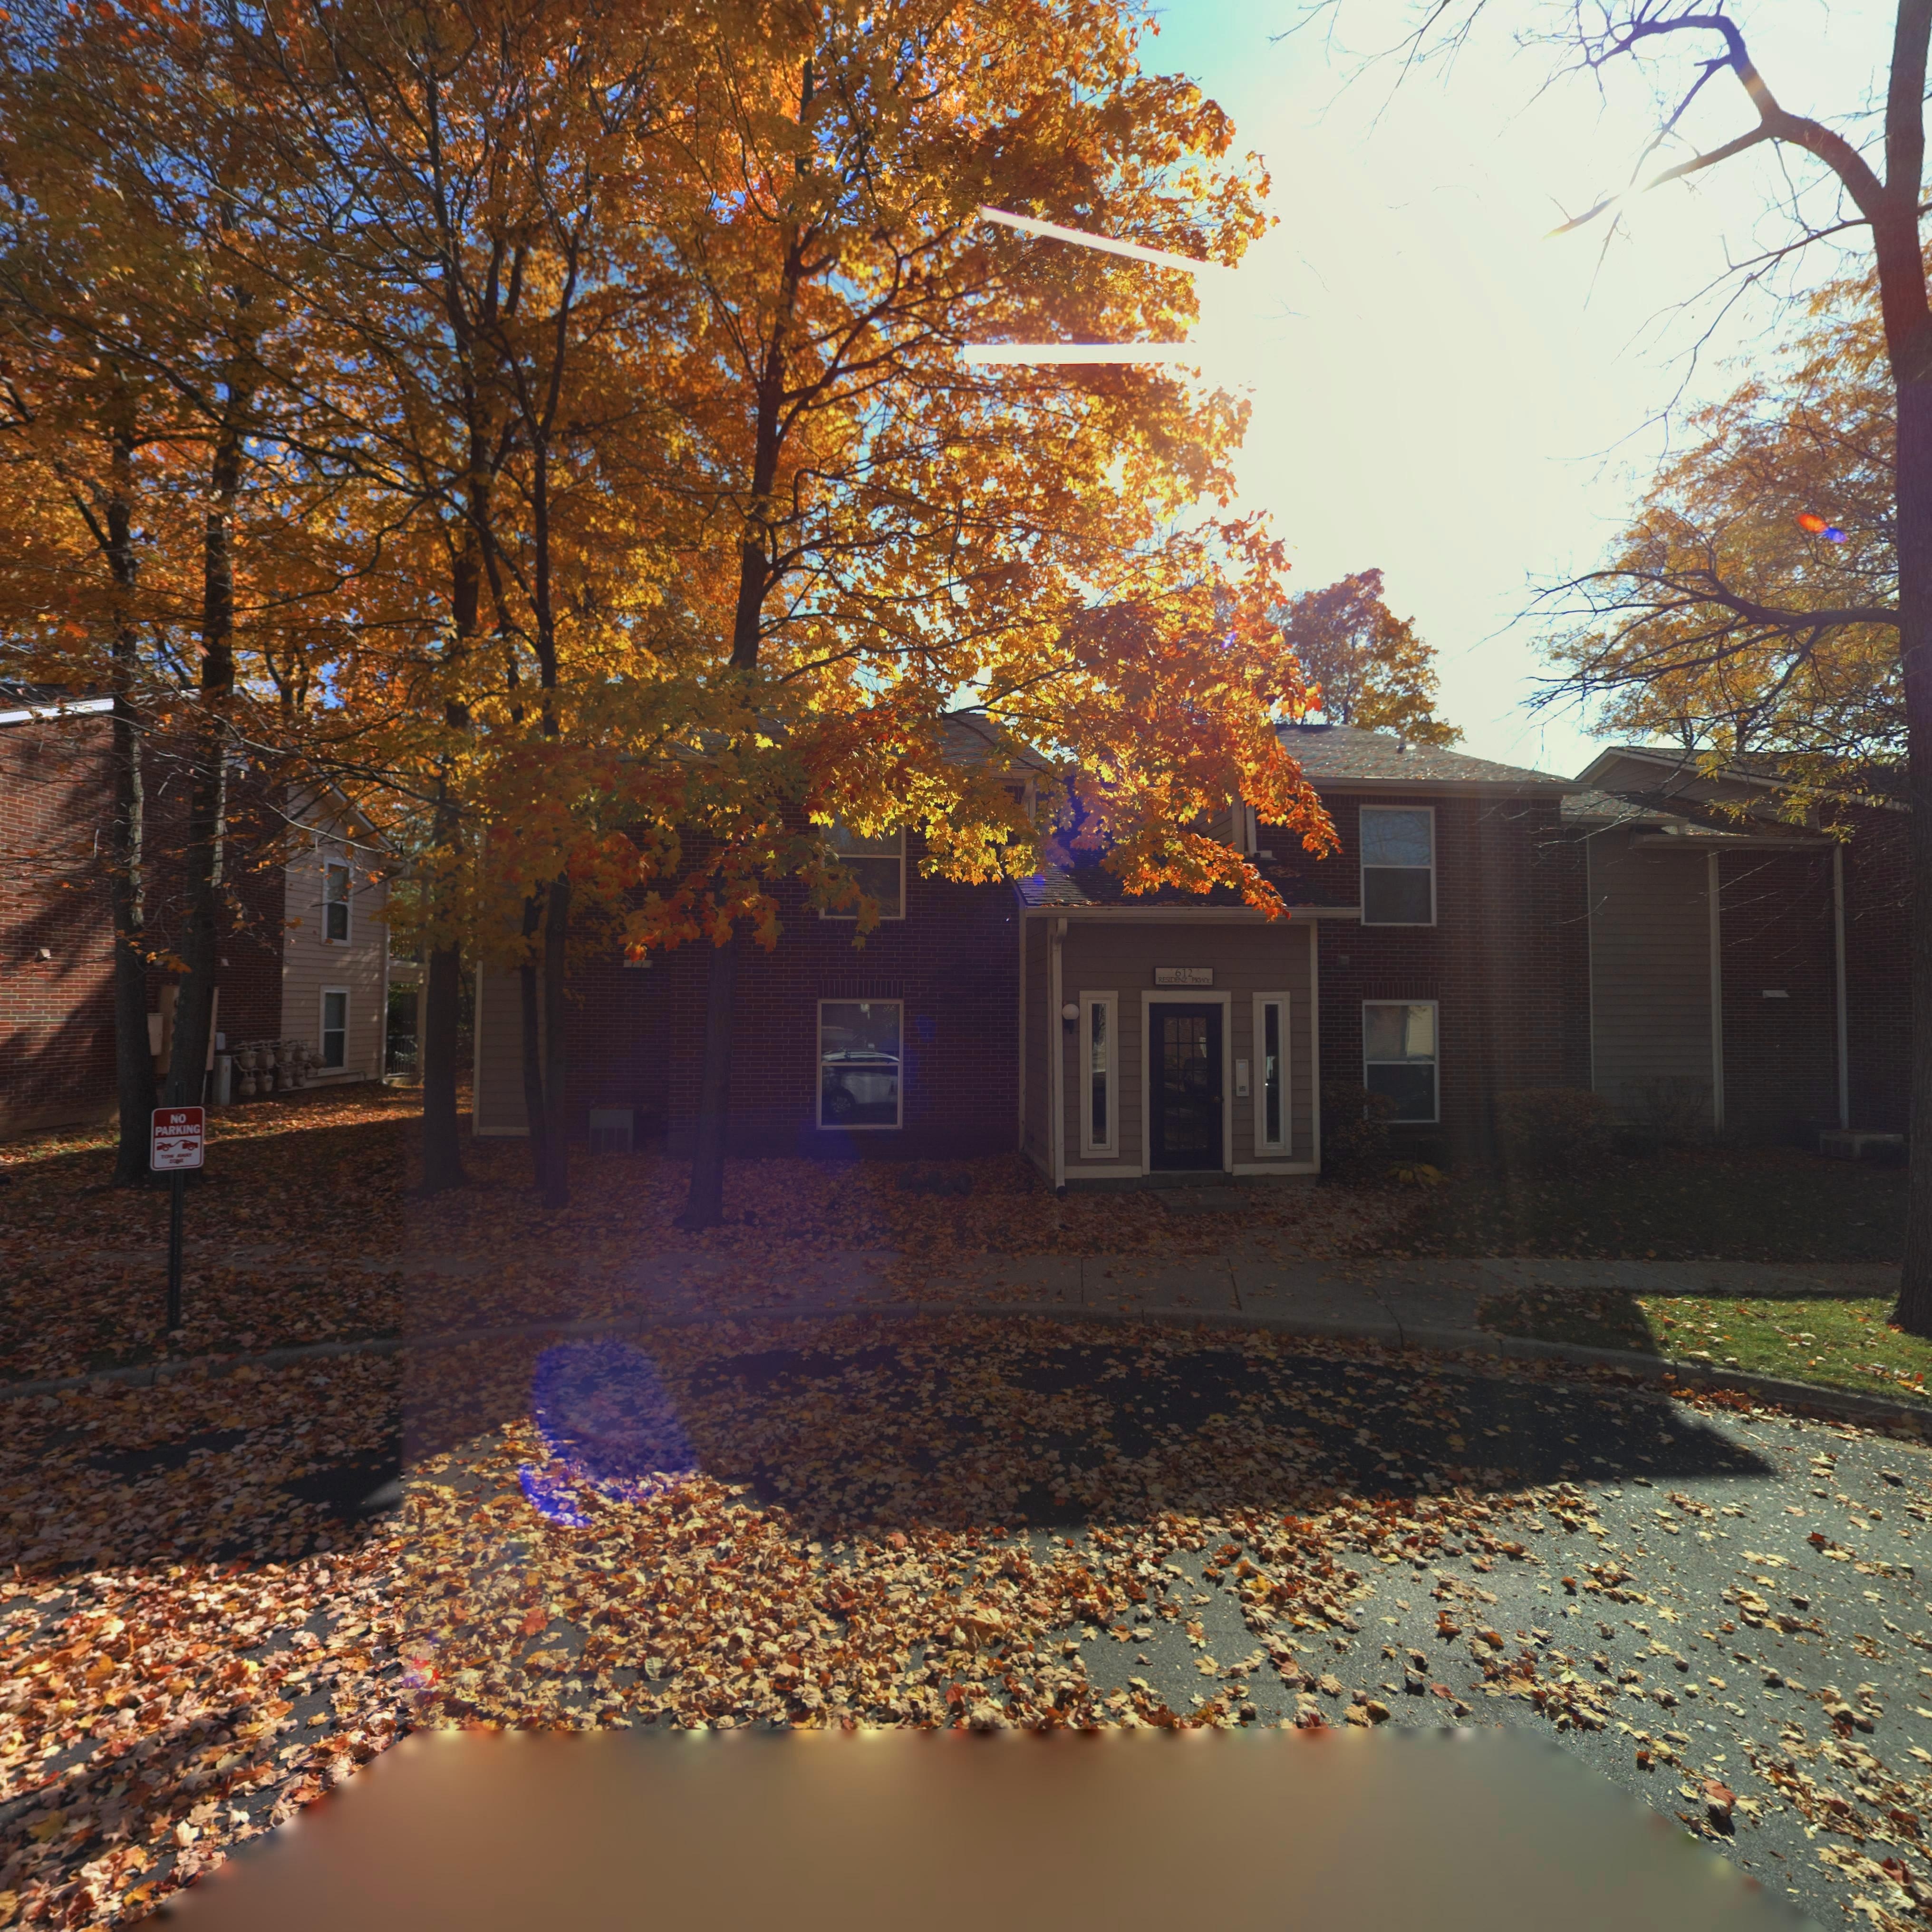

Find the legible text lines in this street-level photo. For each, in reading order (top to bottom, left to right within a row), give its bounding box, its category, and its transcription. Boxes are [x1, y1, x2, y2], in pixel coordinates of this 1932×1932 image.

[1174, 967, 1194, 977] StreetNumber: 612
[1157, 976, 1211, 984] StreetName: RESIDENZ PKW*
[170, 1112, 188, 1125] None: NO
[155, 1122, 202, 1137] None: PARKING